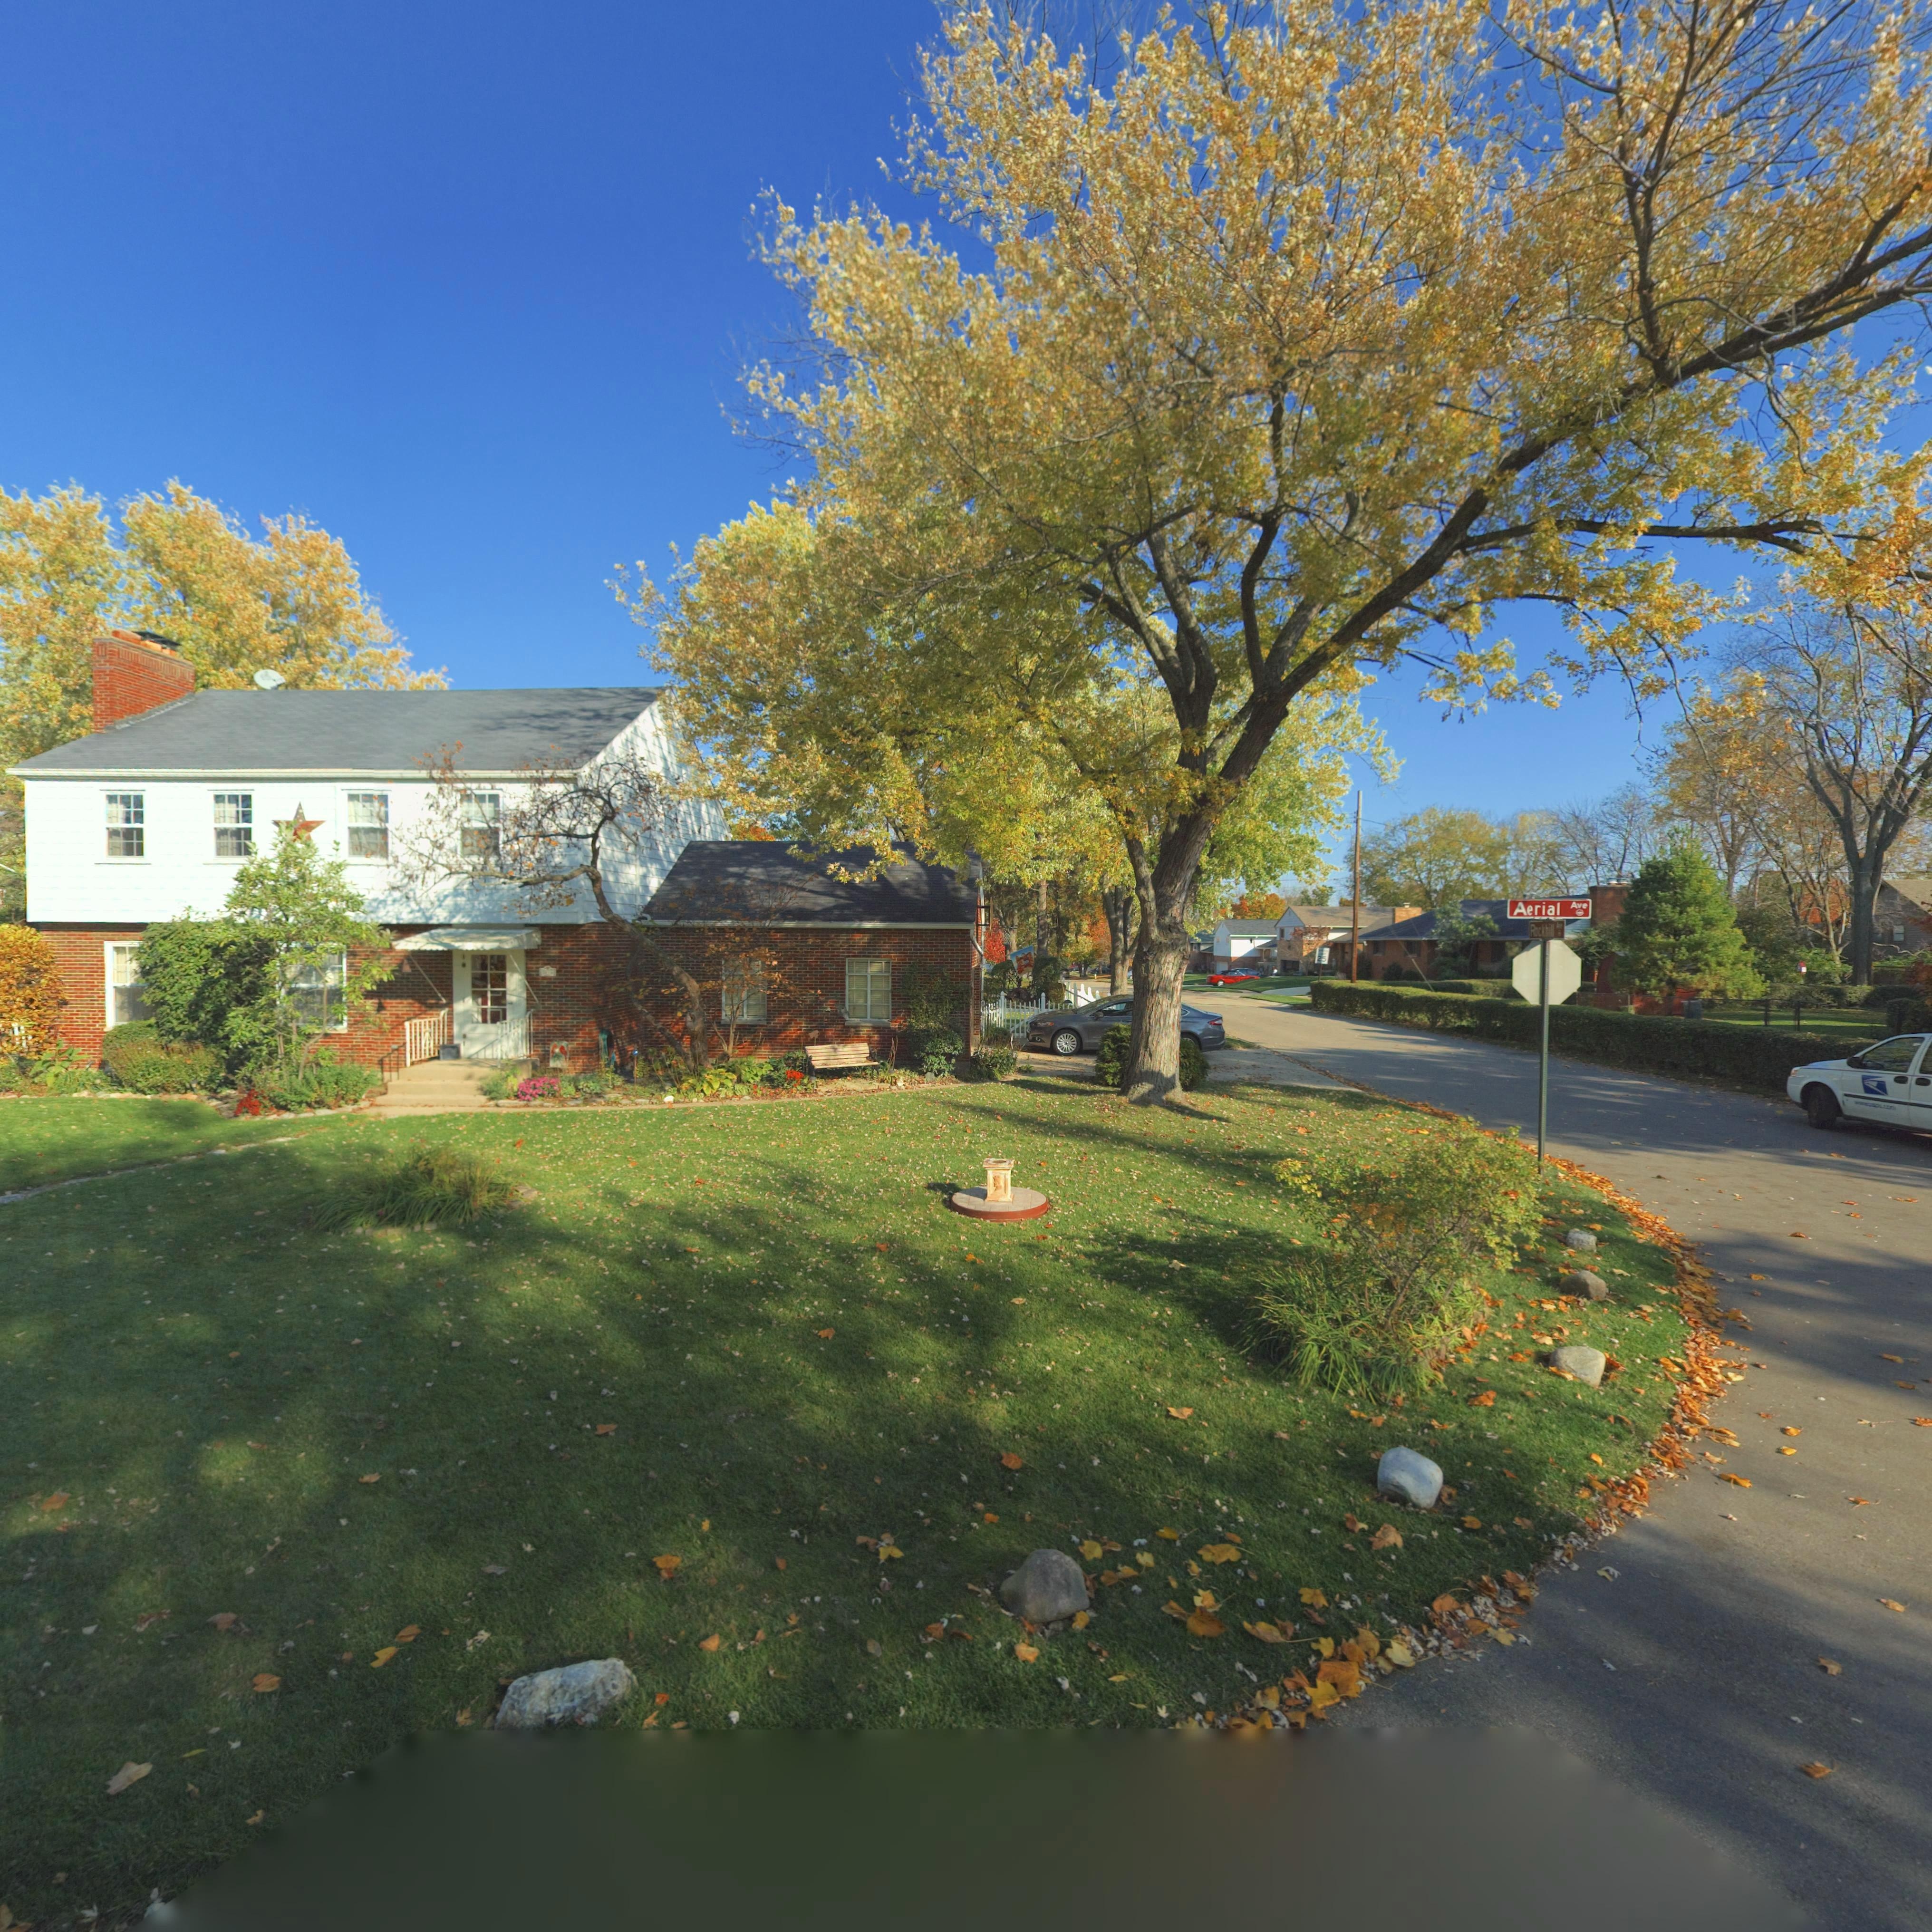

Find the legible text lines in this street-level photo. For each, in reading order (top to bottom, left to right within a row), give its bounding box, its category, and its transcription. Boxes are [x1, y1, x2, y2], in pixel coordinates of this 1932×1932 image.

[1511, 901, 1588, 917] StreetName: Aerial Ave
[1529, 923, 1555, 938] StreetName: Rockhill